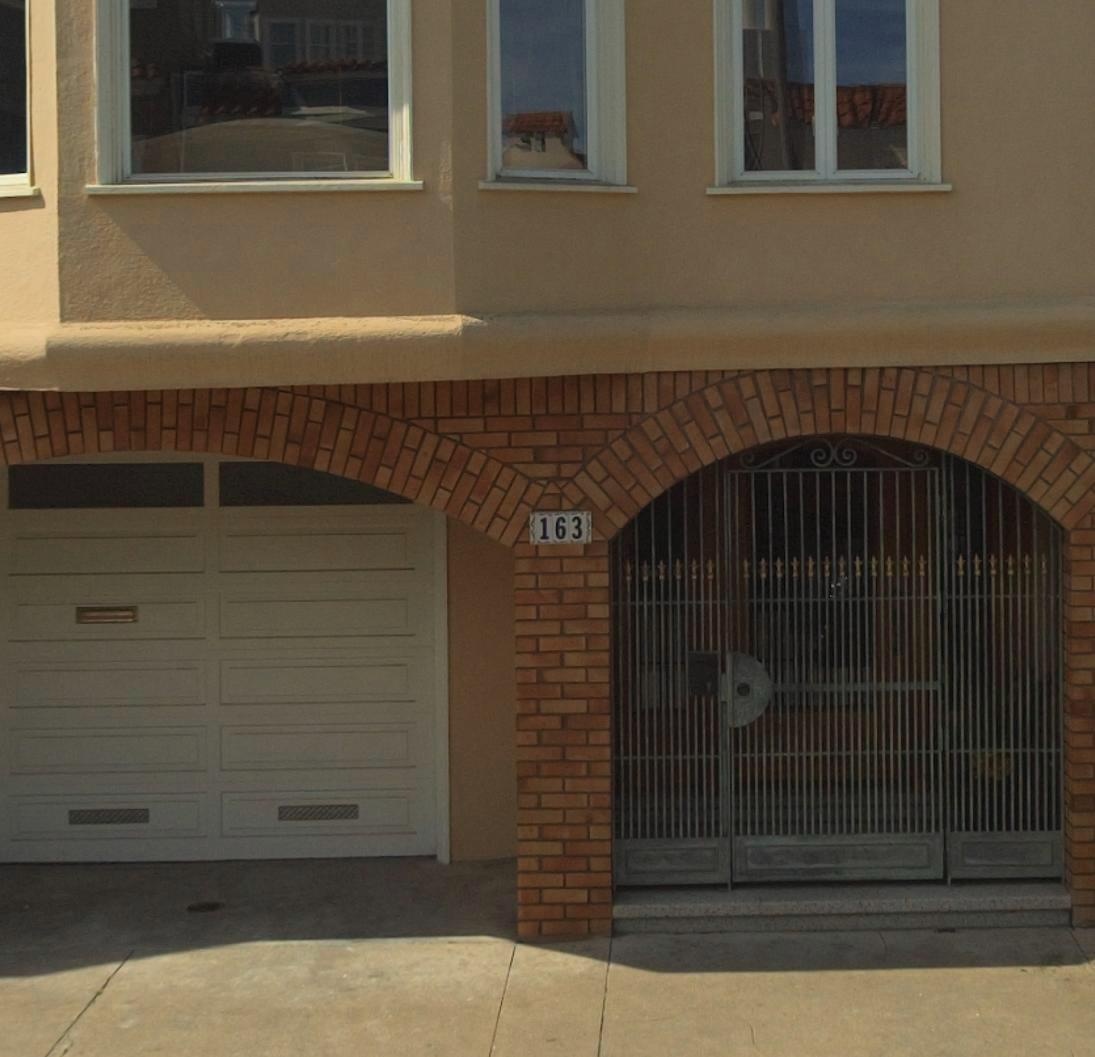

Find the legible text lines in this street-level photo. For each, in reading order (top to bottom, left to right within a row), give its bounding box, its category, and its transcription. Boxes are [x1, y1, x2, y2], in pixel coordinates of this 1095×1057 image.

[537, 514, 585, 542] StreetNumber: 163